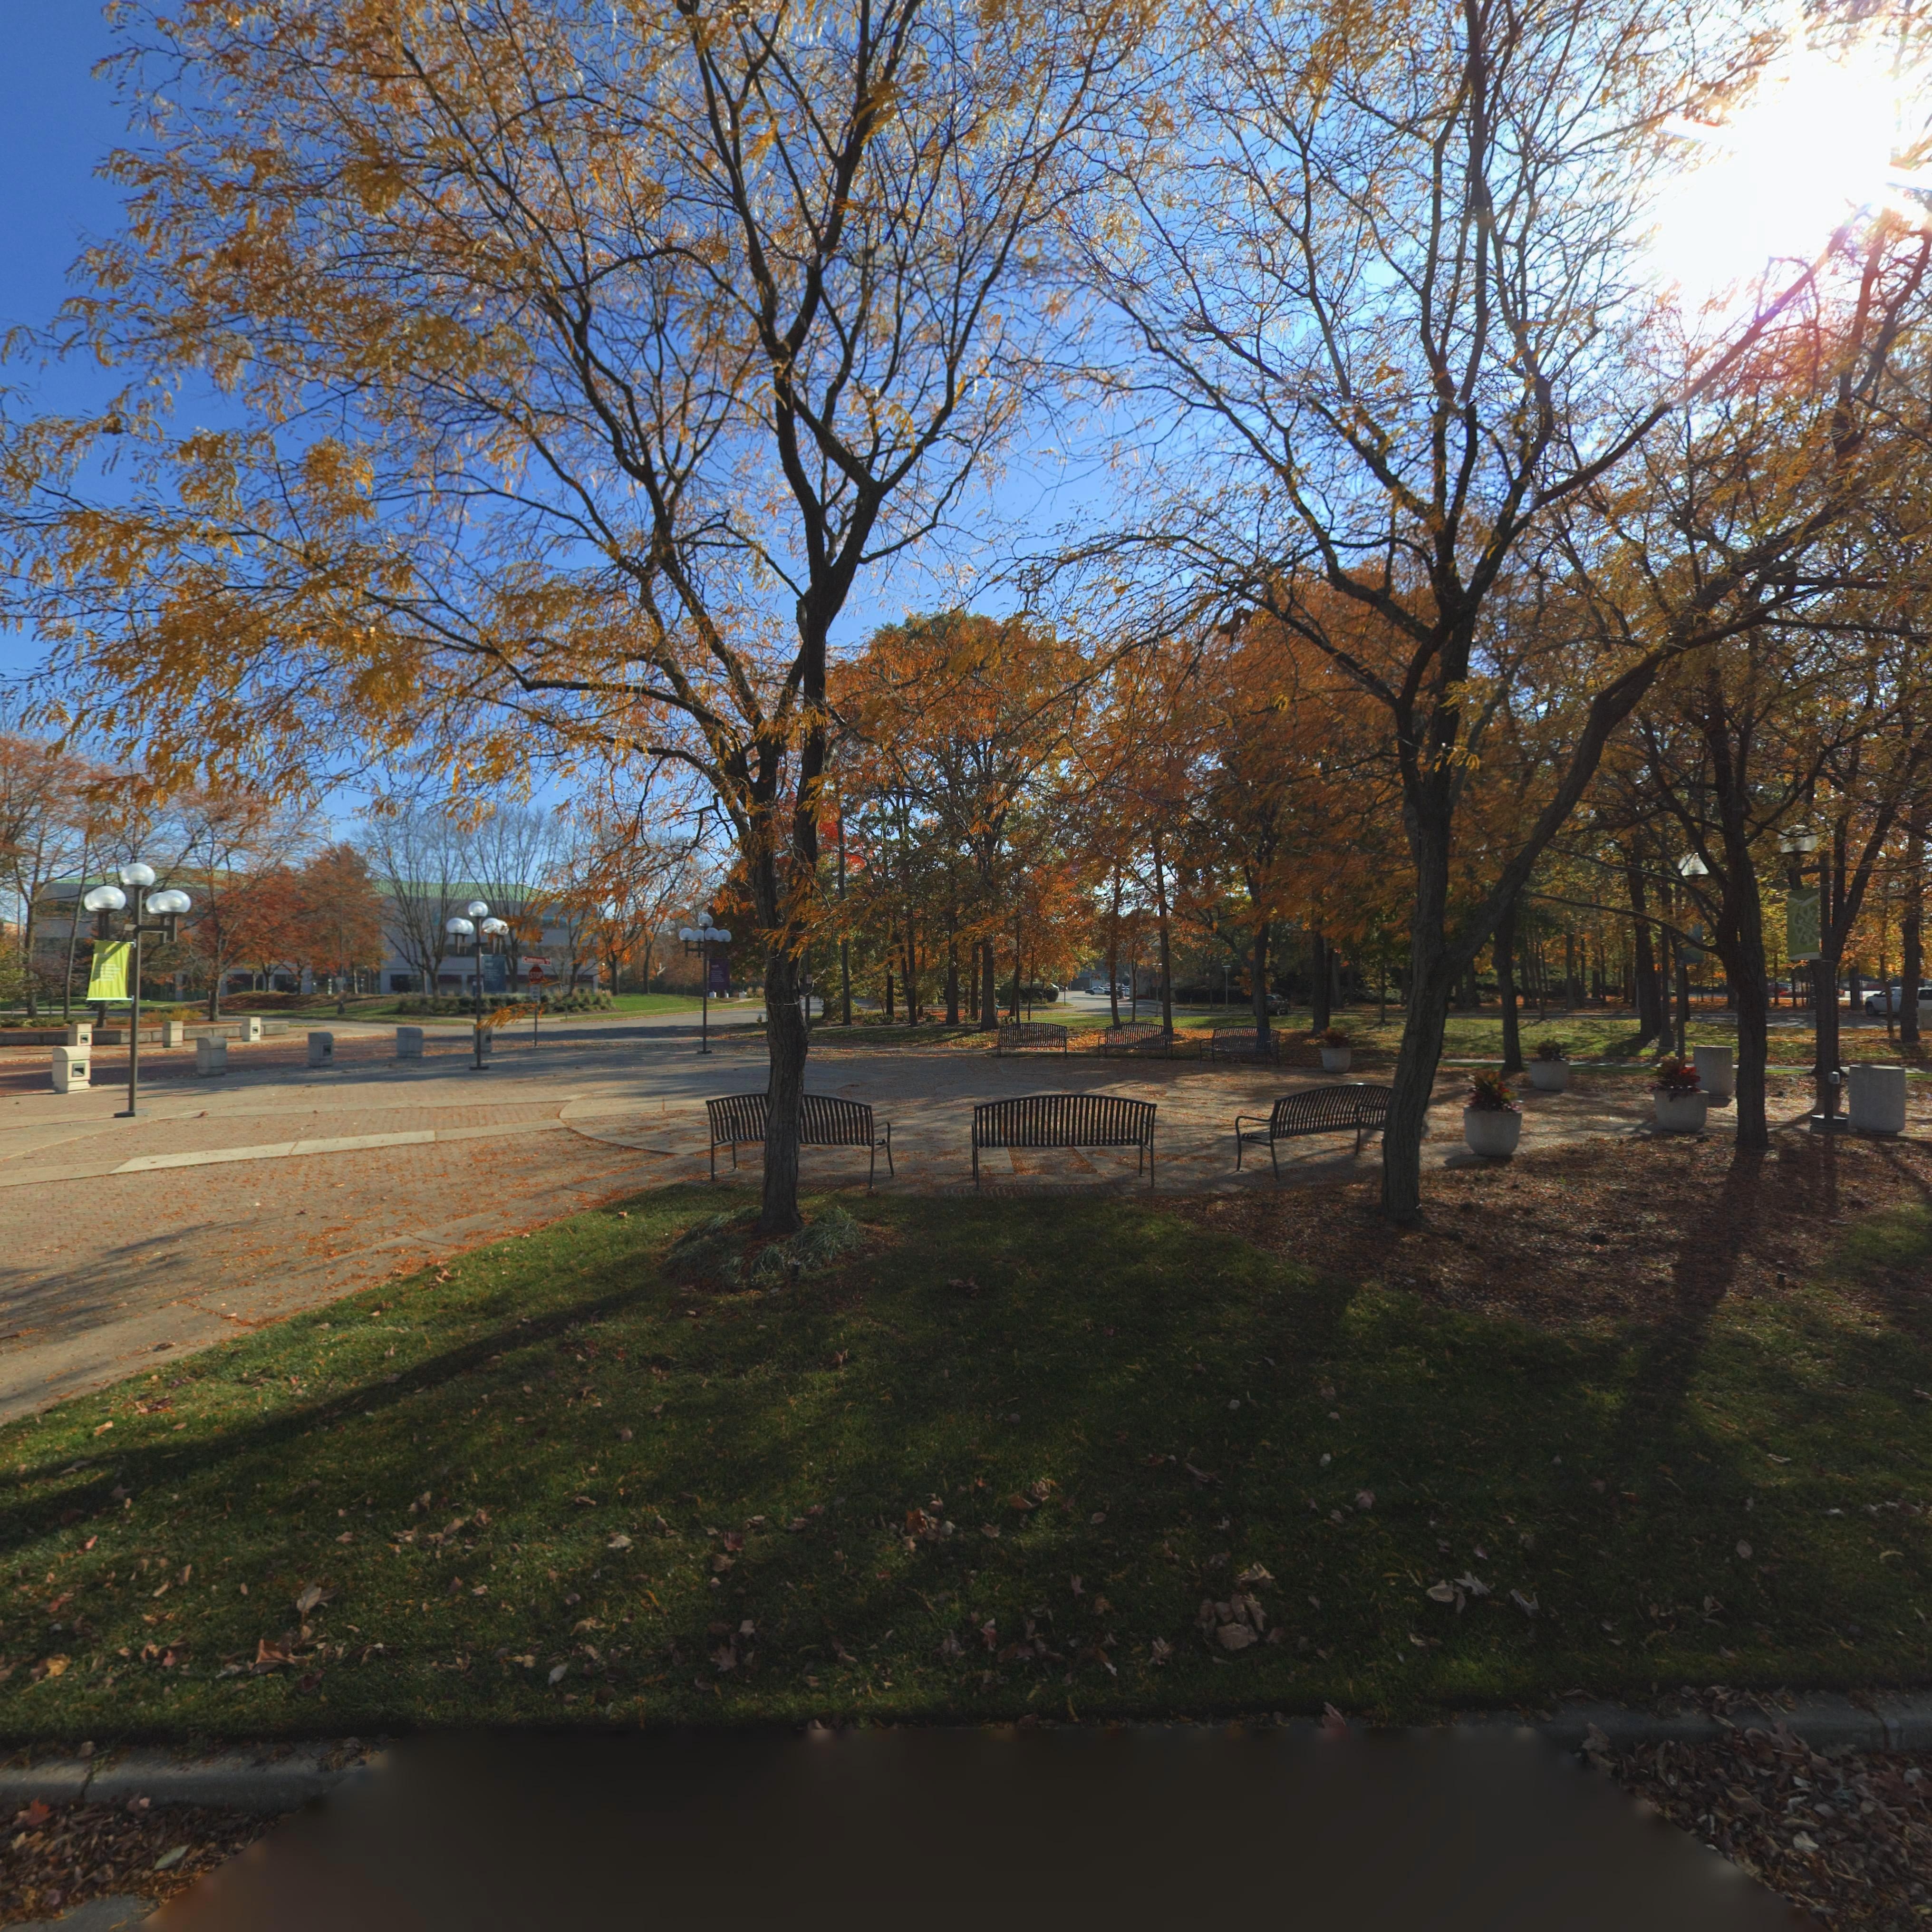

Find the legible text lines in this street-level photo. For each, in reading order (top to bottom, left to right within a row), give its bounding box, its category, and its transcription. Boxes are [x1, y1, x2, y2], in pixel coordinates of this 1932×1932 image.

[530, 972, 543, 979] None: STOP